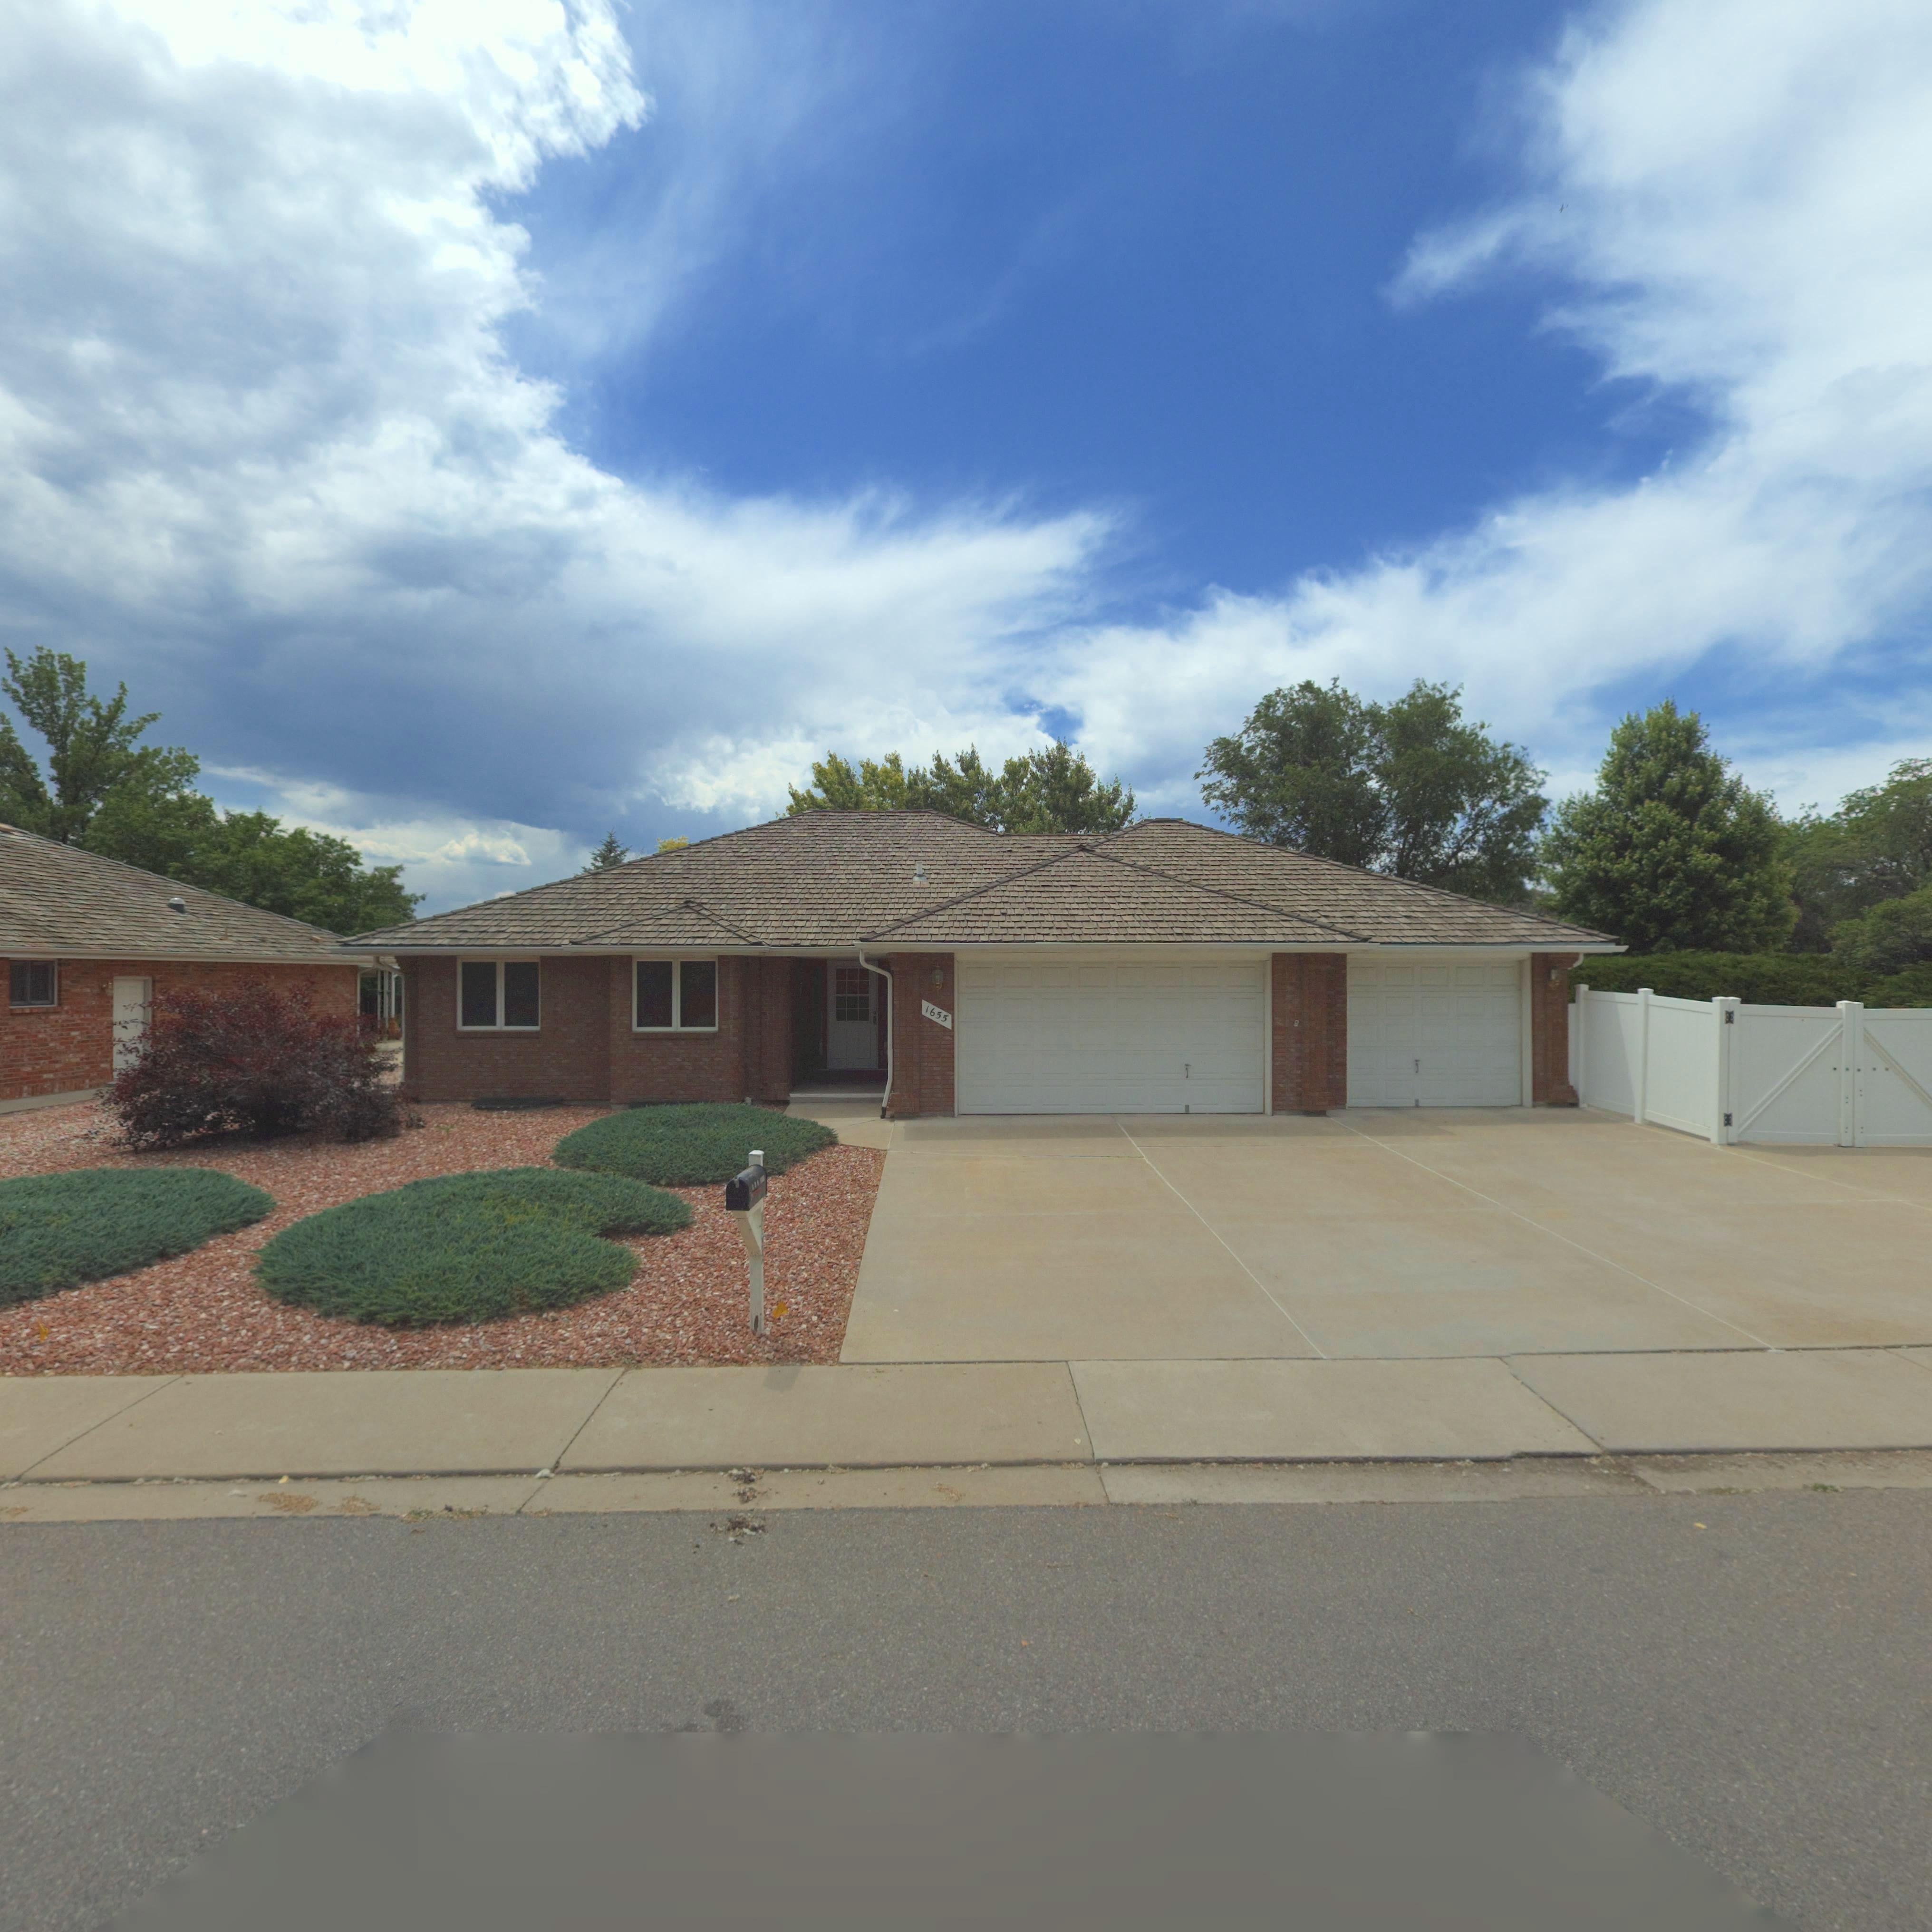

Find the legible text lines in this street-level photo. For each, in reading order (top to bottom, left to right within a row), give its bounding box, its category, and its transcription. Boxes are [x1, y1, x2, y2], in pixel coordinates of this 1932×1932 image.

[925, 1004, 949, 1022] StreetNumber: 1655